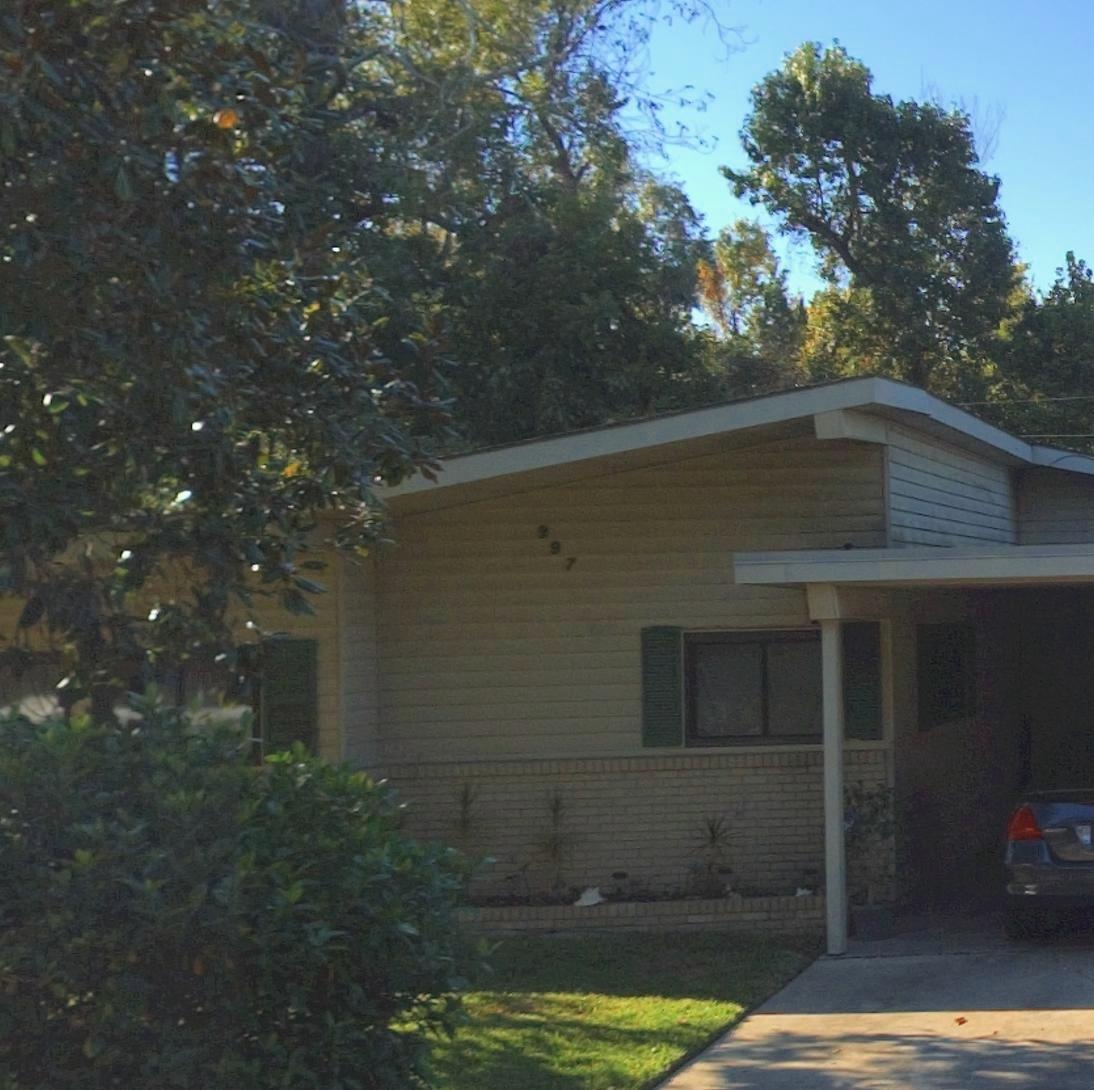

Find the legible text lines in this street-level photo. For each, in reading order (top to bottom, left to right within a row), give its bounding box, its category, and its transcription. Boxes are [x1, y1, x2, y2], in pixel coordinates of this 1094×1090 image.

[537, 525, 579, 571] StreetNumber: 997